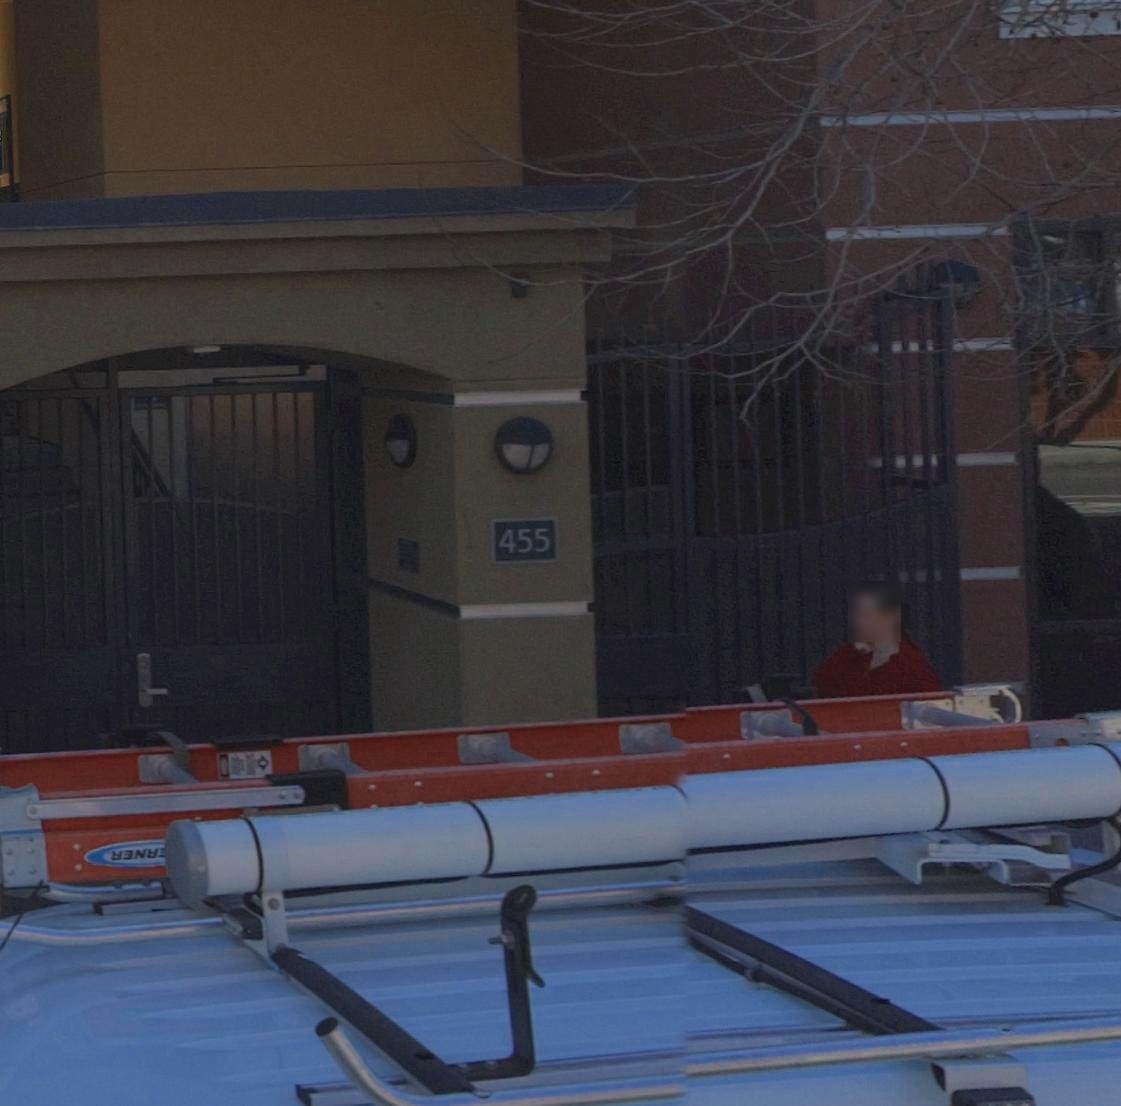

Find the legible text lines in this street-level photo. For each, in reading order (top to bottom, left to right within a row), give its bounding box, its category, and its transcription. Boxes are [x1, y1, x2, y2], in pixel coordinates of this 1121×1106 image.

[496, 526, 550, 555] StreetNumber: 455